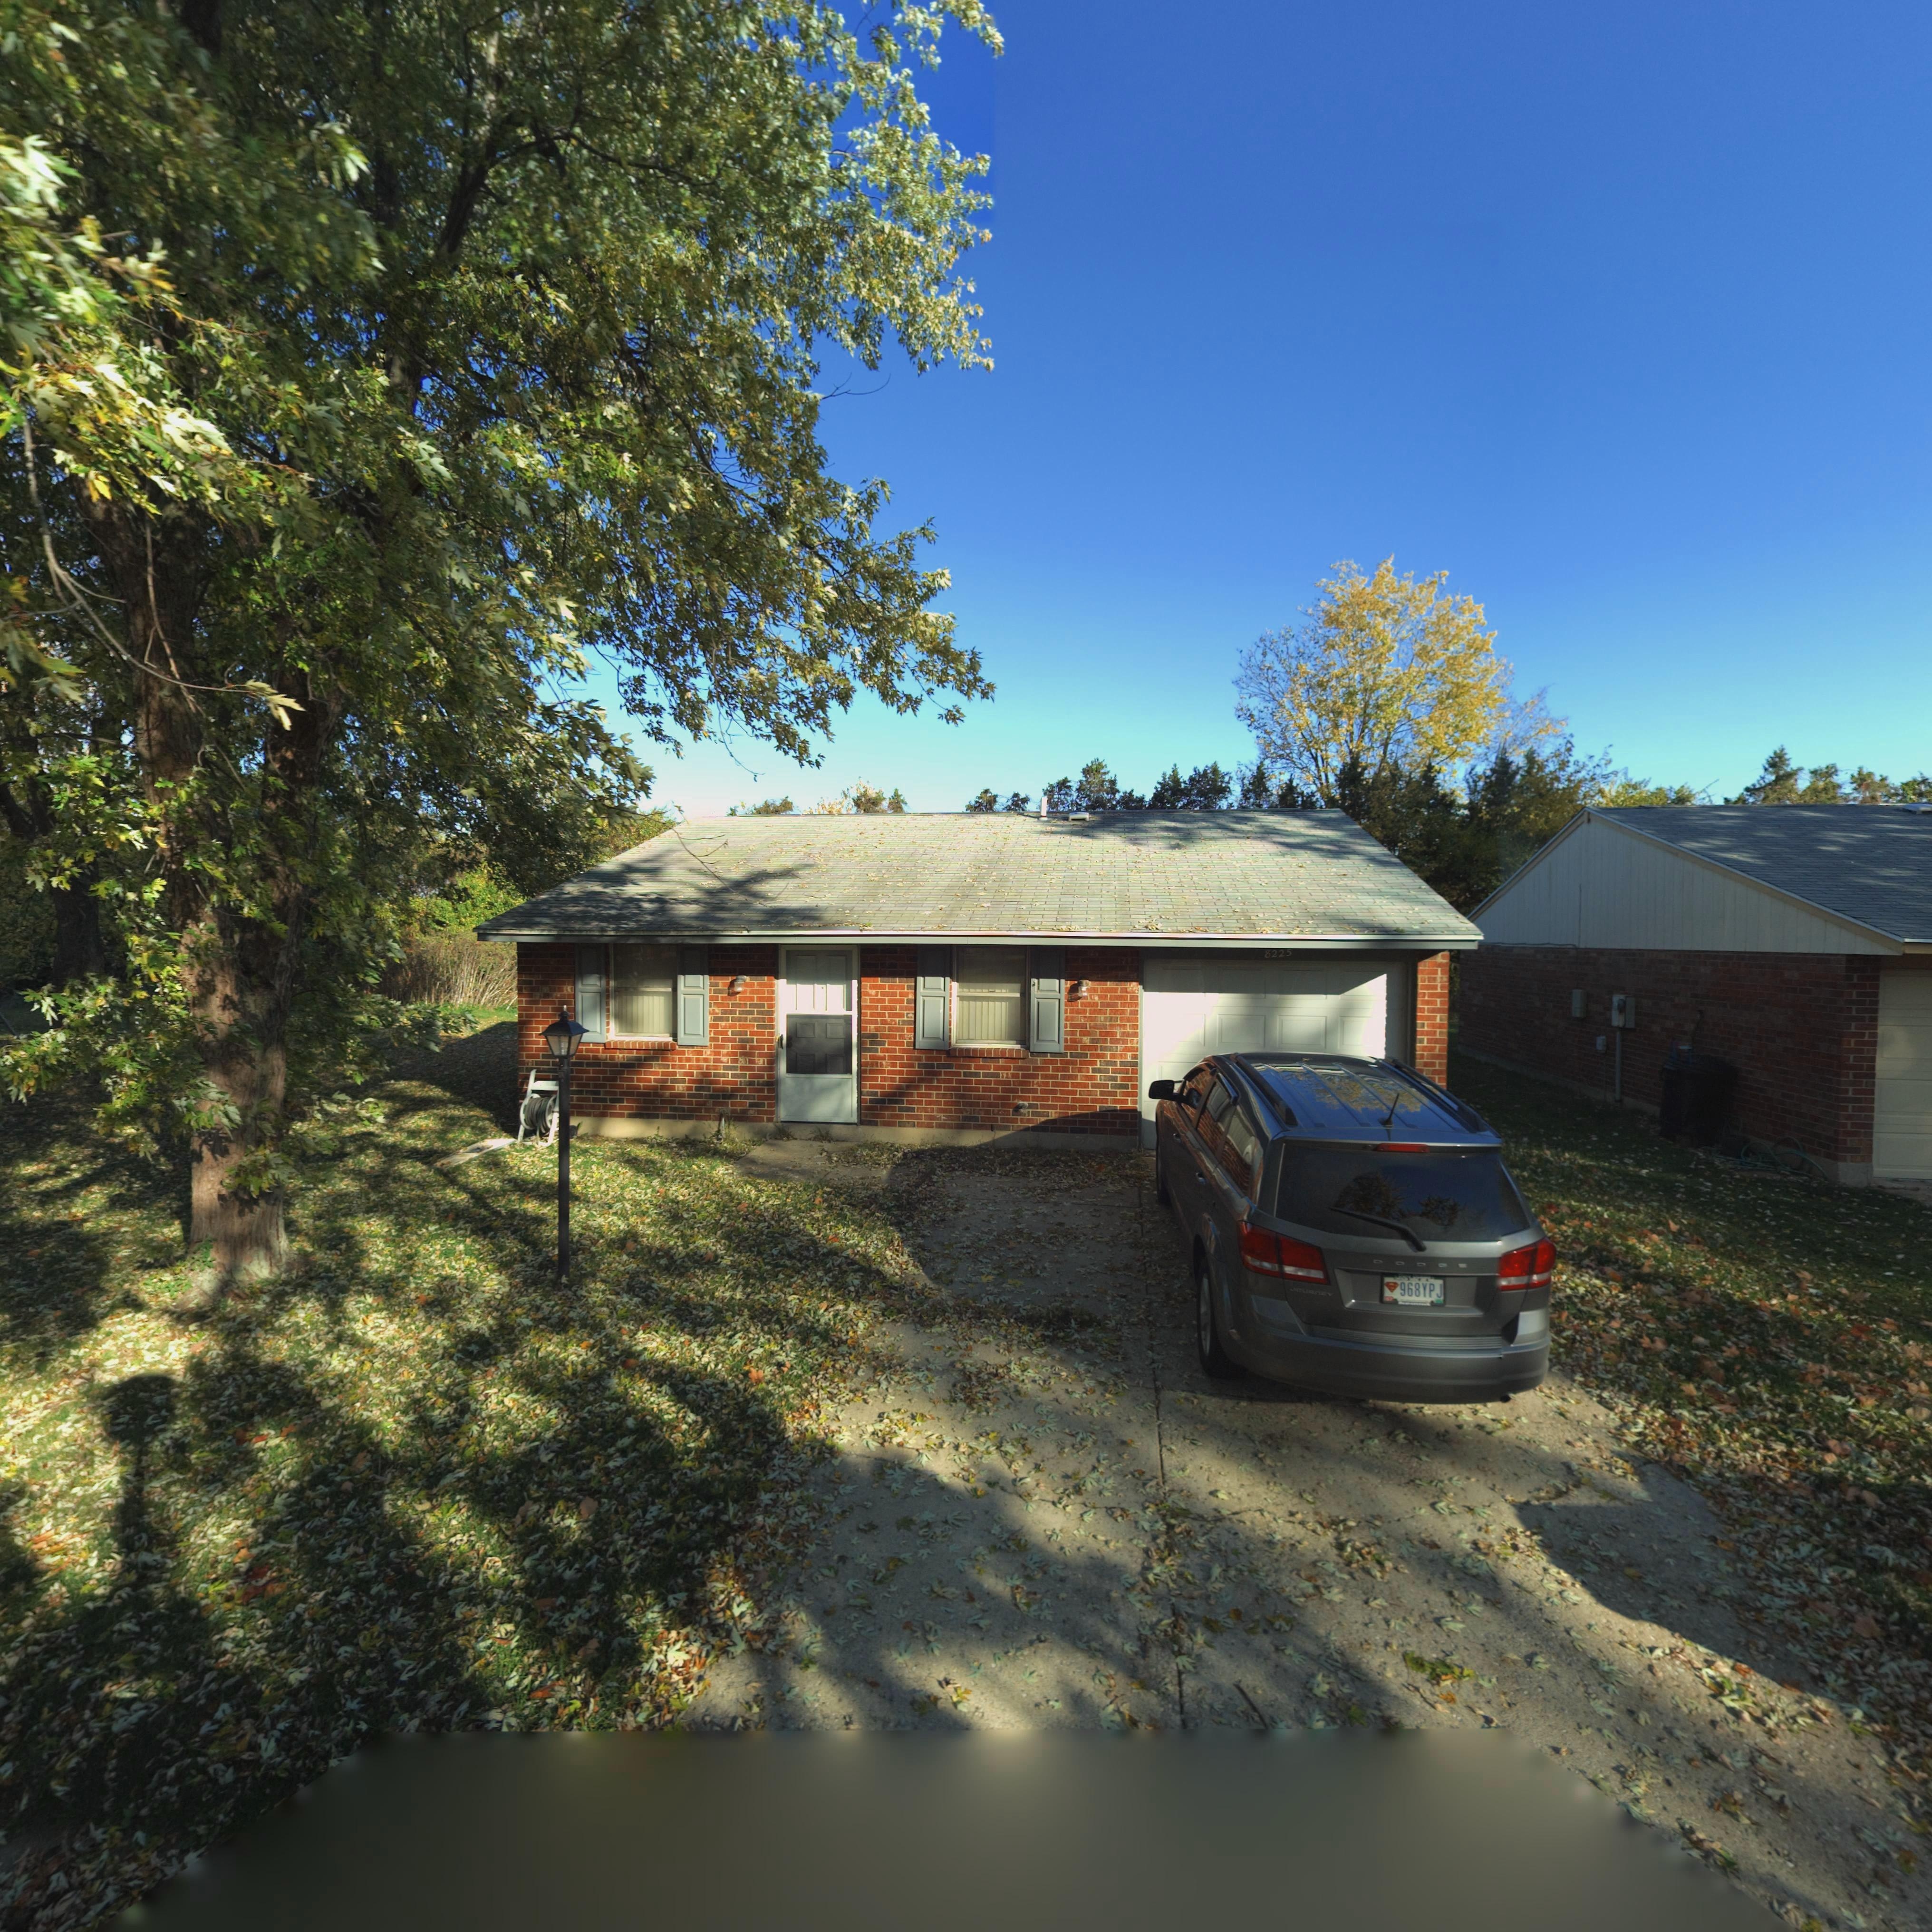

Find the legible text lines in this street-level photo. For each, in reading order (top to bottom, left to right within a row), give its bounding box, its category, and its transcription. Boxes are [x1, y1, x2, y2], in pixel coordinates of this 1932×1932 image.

[1264, 947, 1293, 959] StreetNumber: 8225